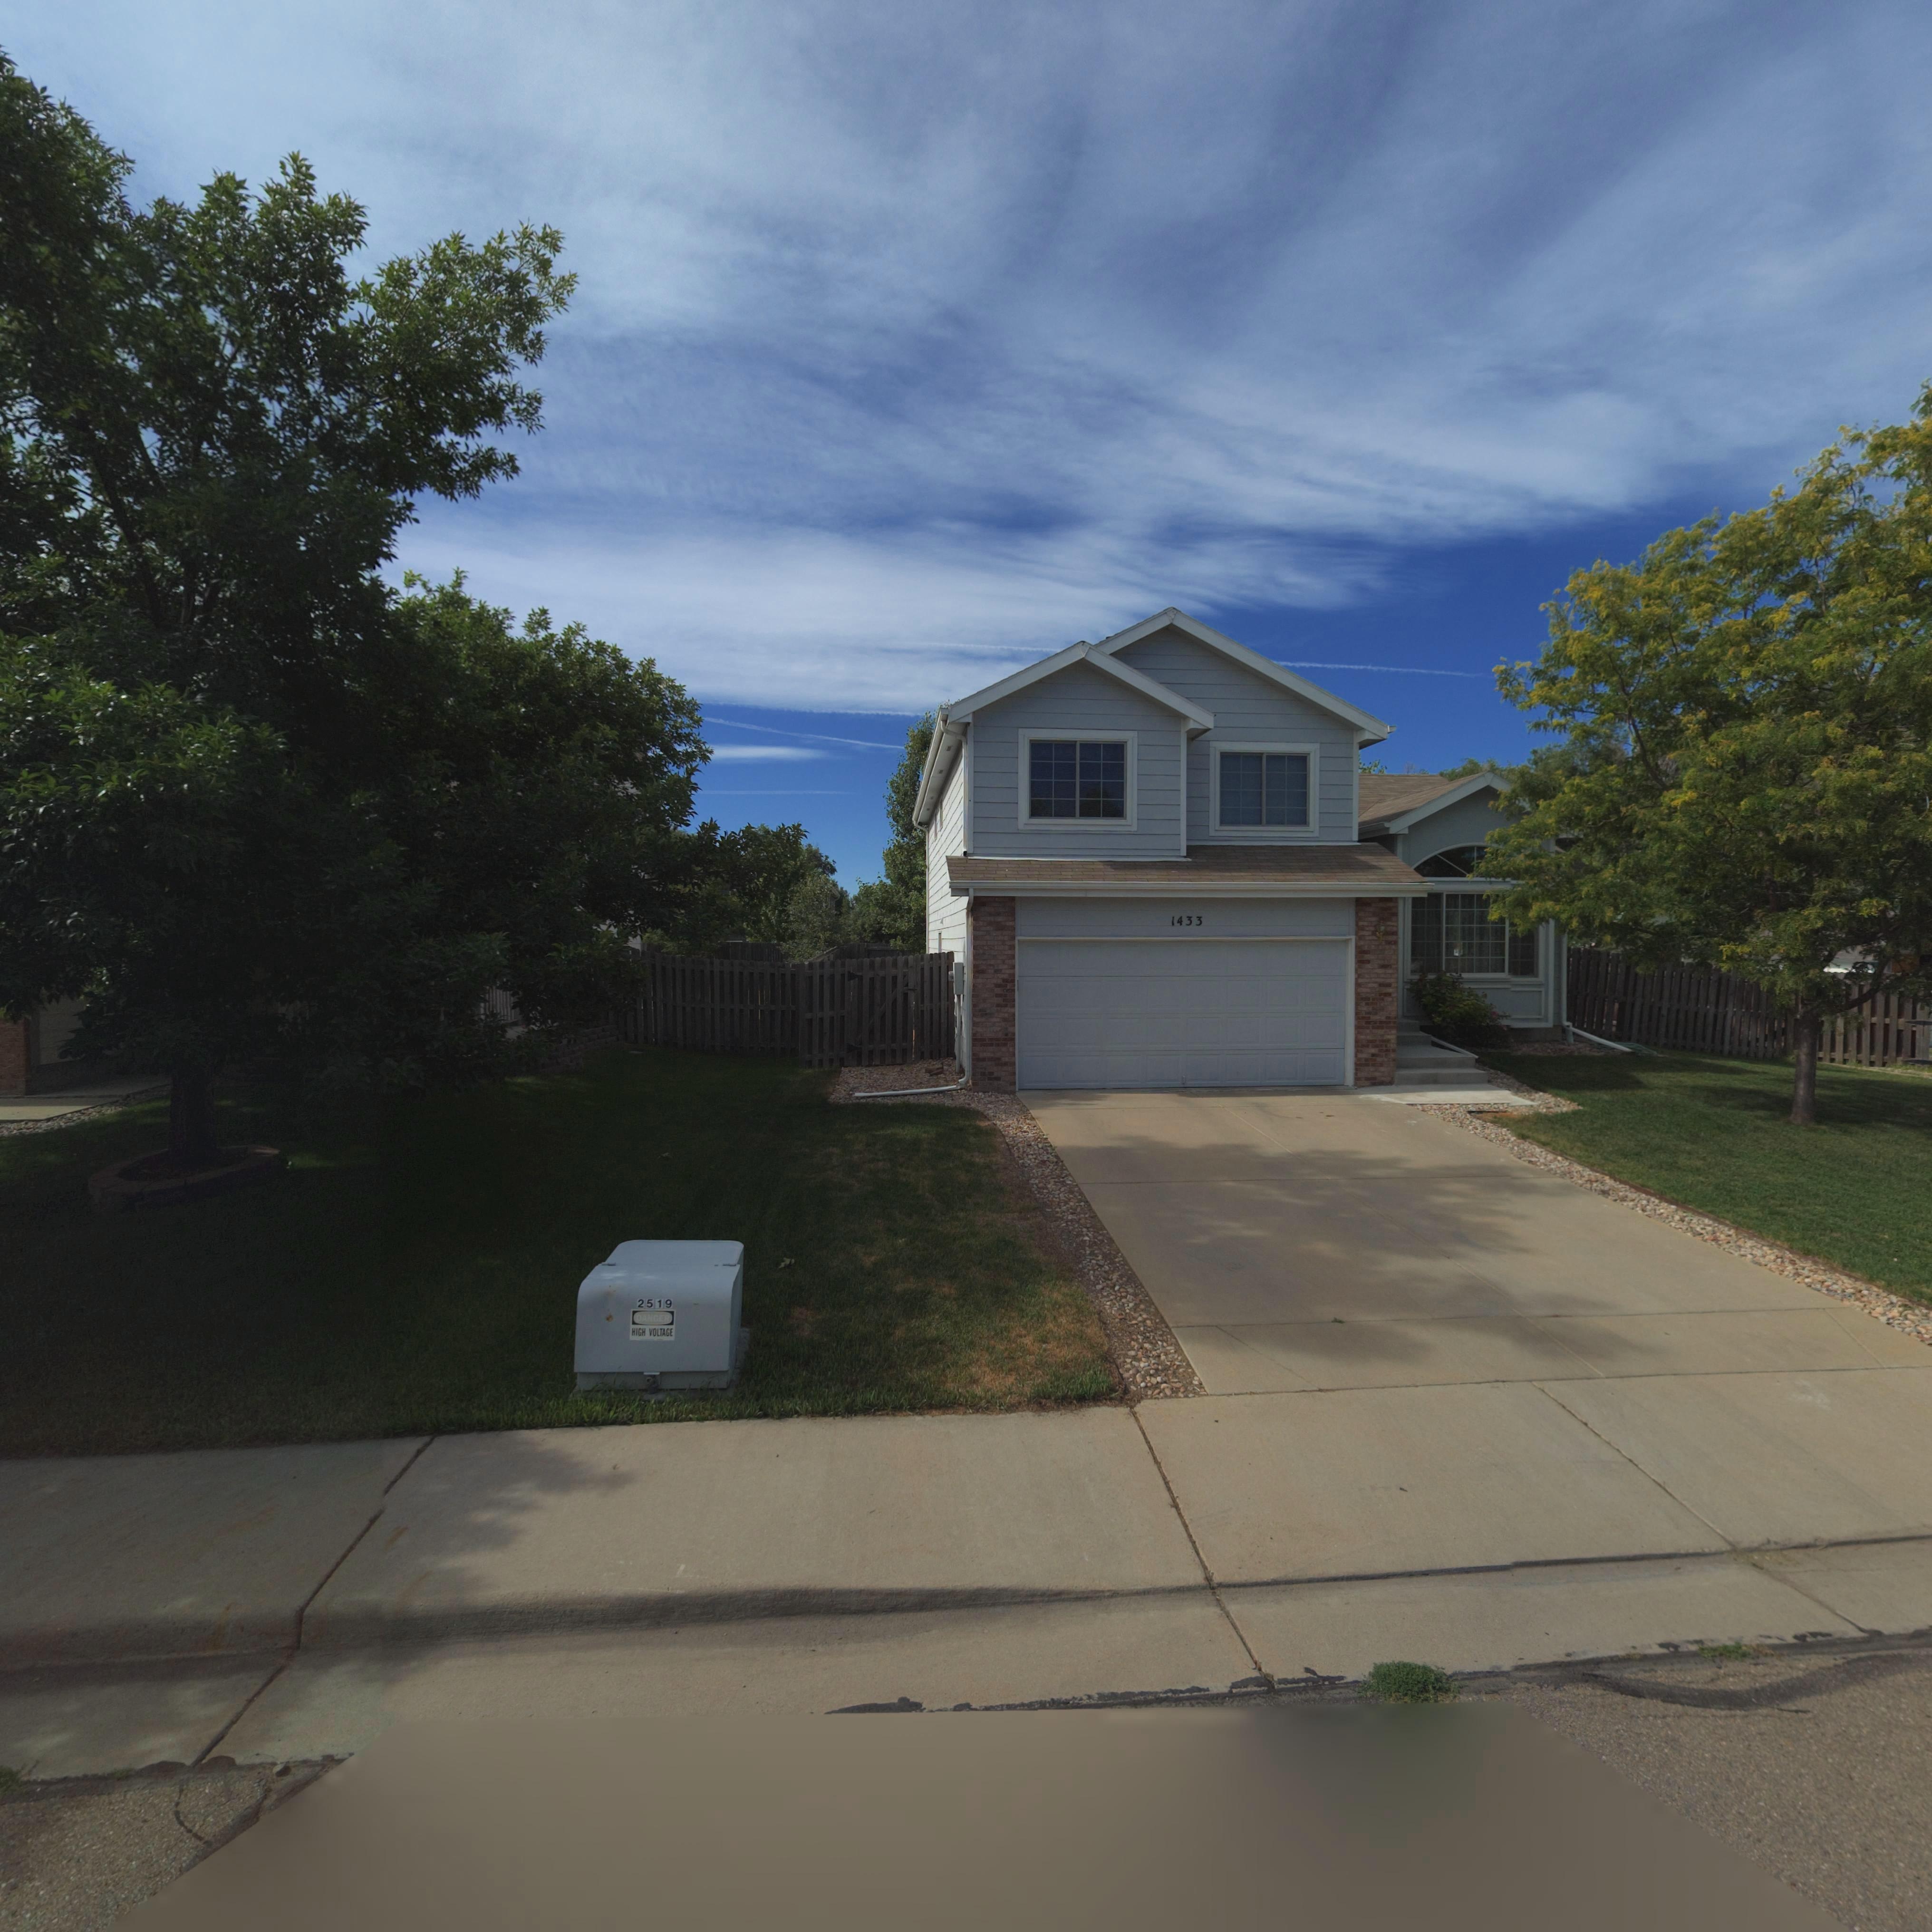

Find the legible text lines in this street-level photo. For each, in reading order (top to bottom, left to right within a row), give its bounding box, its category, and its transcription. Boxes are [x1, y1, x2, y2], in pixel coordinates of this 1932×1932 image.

[1171, 915, 1203, 927] StreetNumber: 1433
[637, 1298, 672, 1308] None: 2519